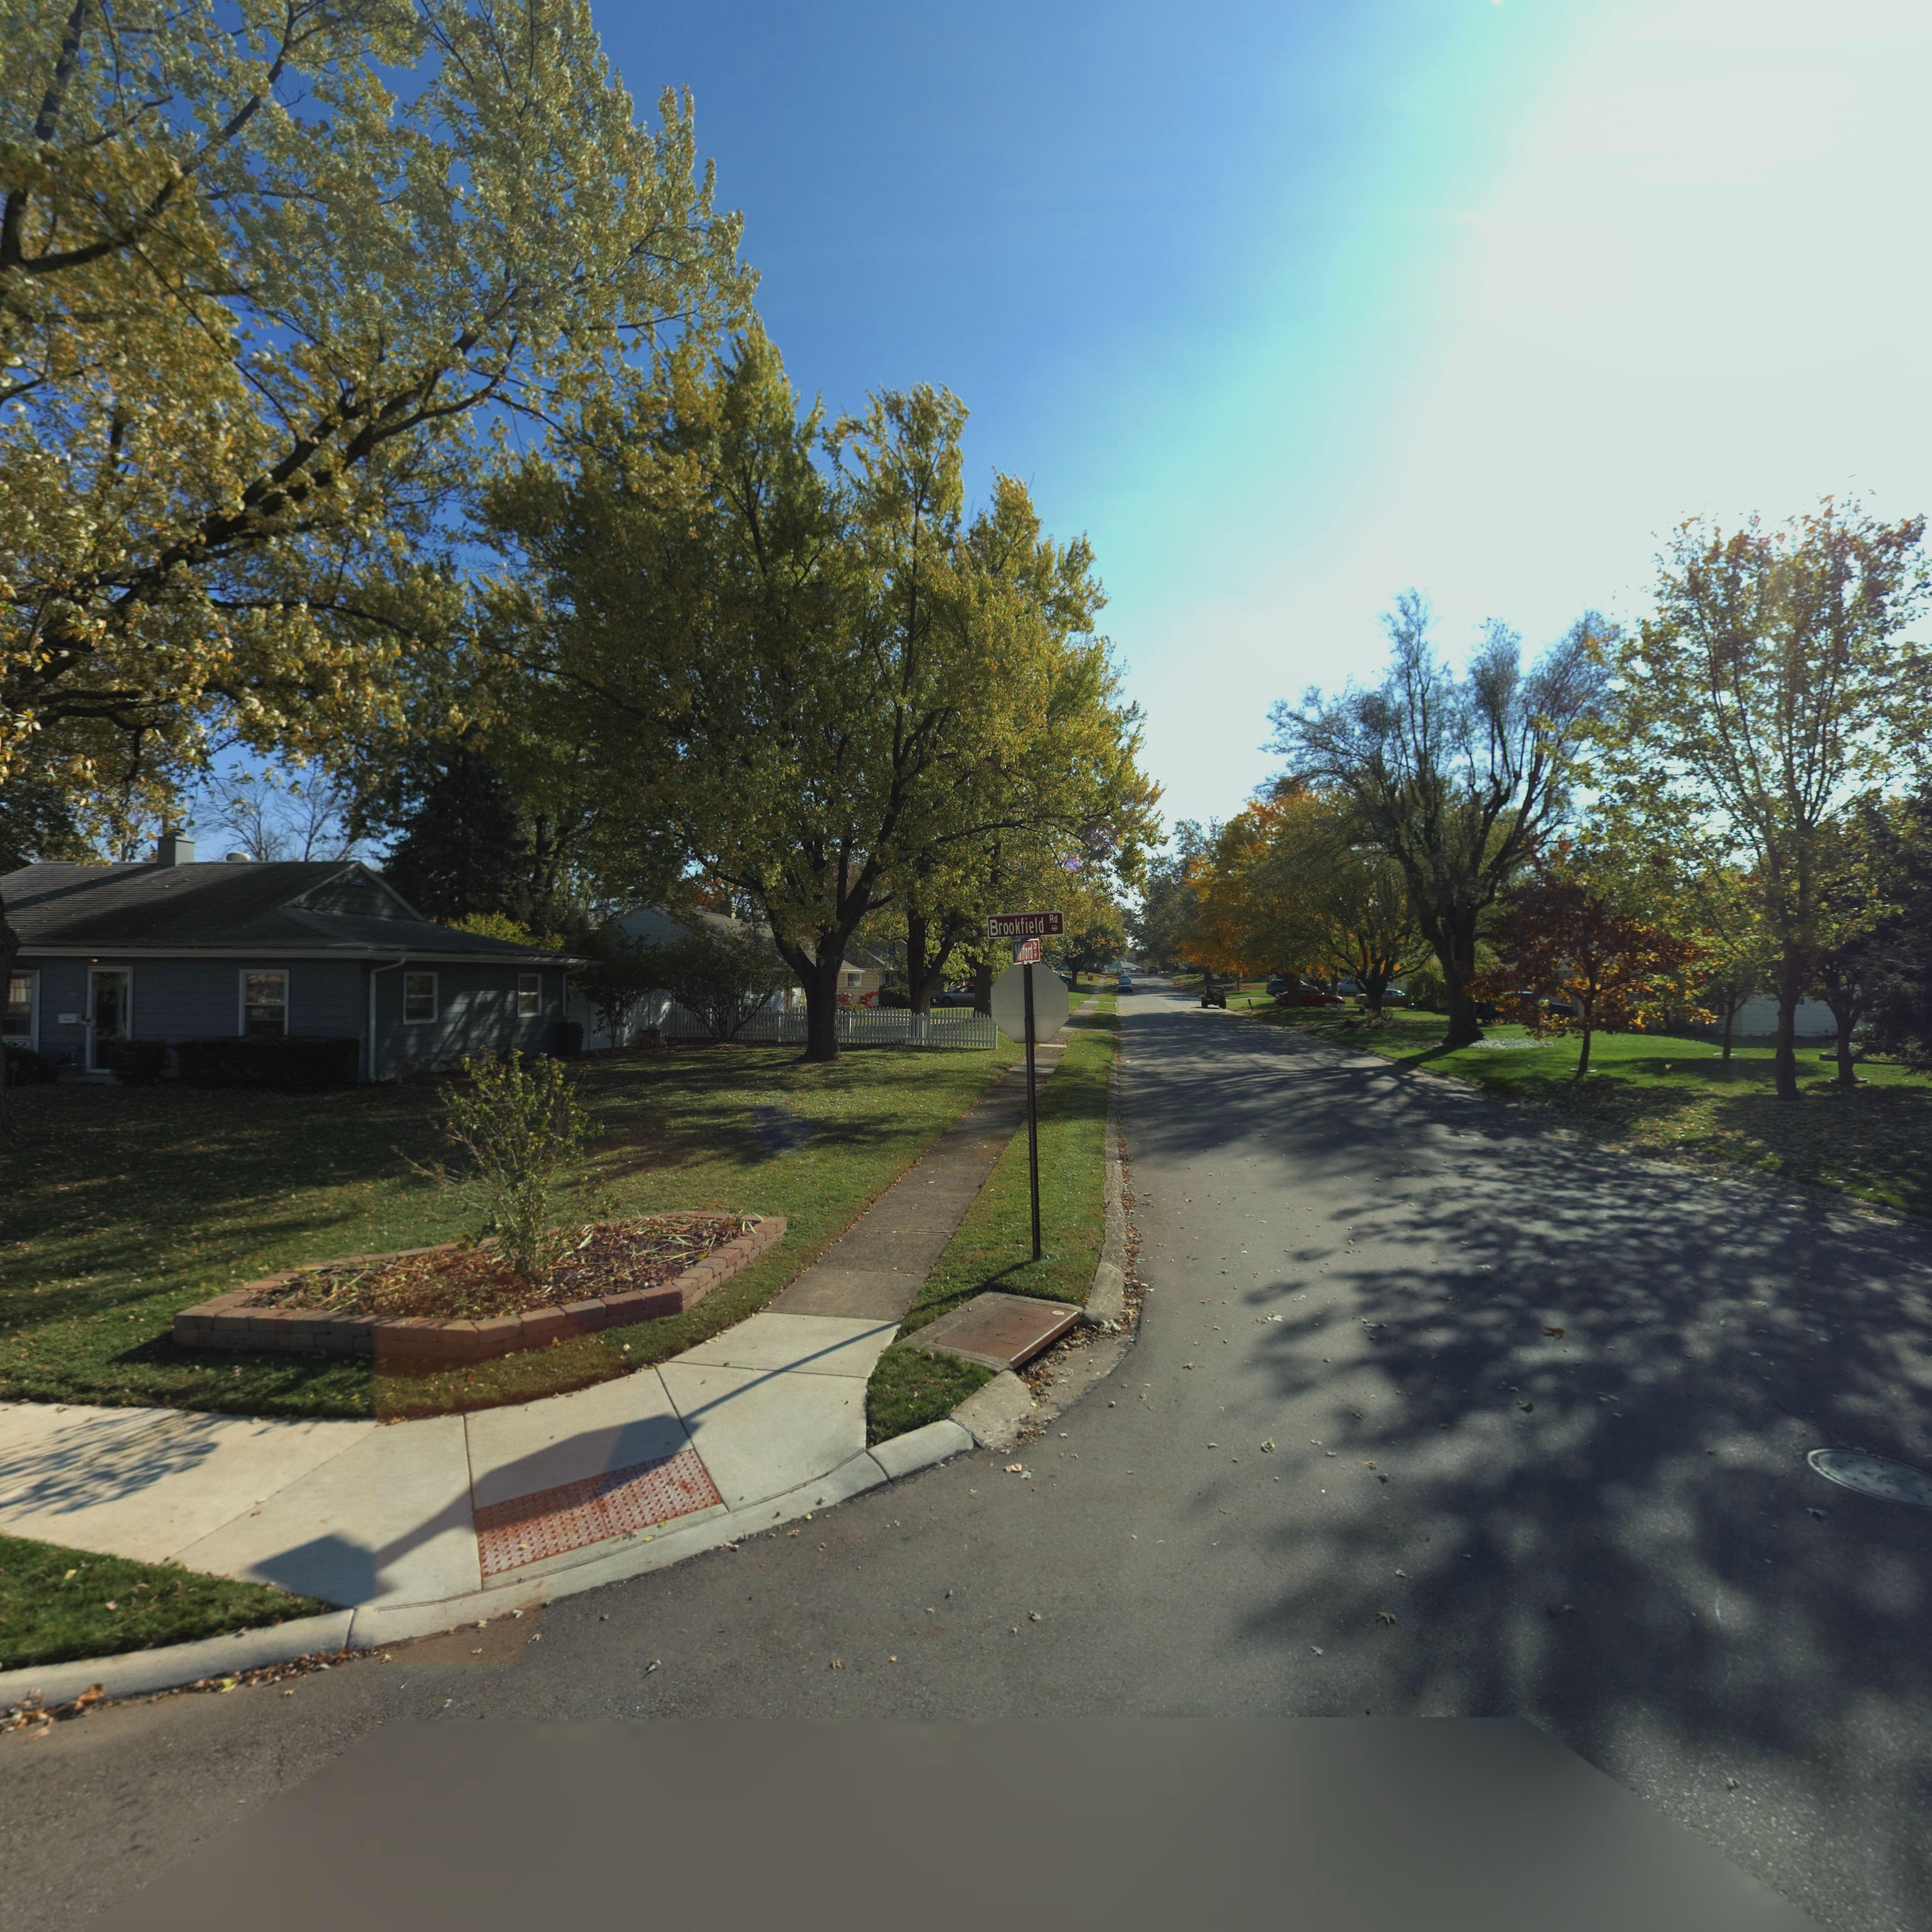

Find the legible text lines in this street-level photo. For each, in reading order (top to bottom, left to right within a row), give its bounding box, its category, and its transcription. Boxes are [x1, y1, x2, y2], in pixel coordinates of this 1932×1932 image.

[989, 914, 1059, 937] StreetName: Brookfield Rd
[1014, 941, 1038, 962] StreetName: Milford Dr